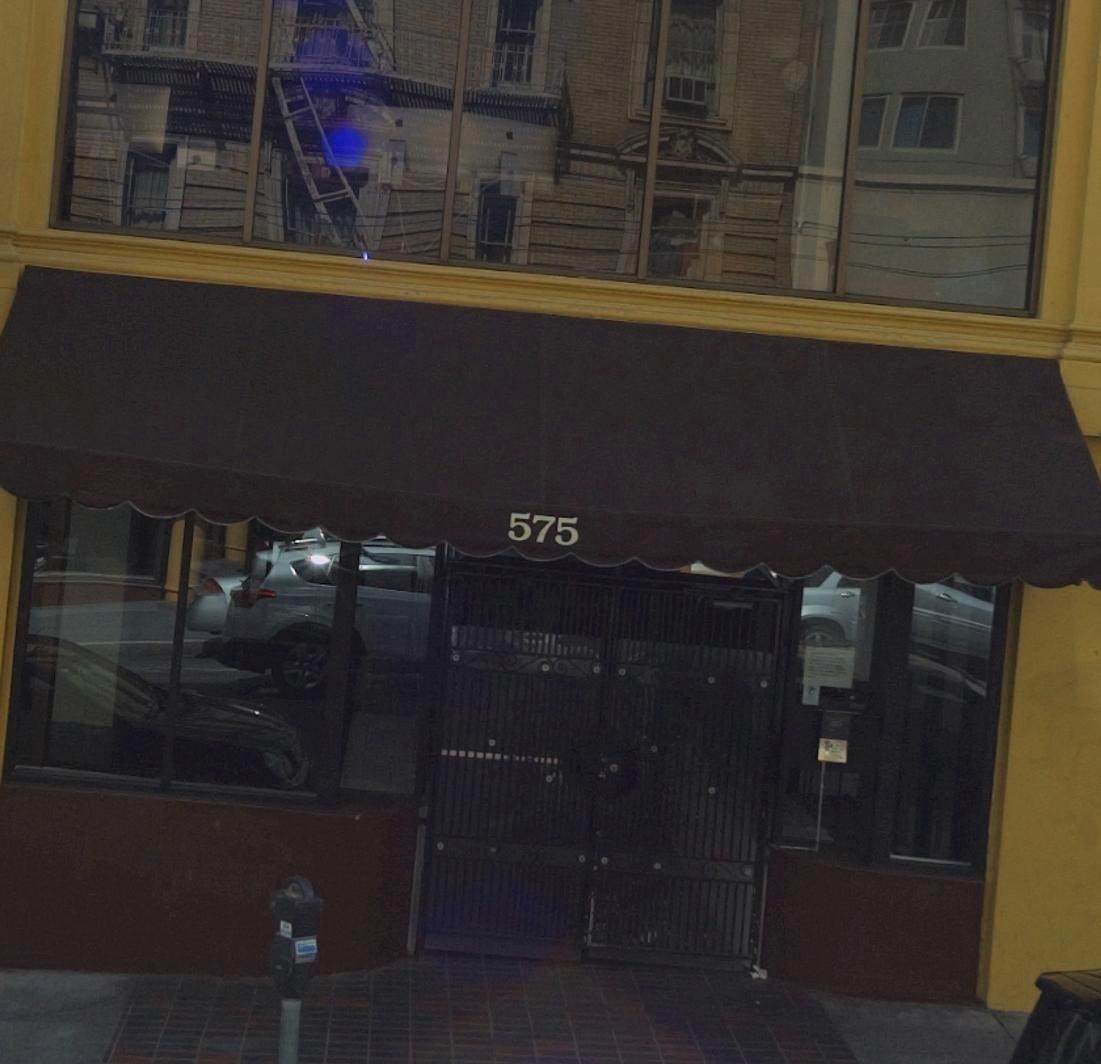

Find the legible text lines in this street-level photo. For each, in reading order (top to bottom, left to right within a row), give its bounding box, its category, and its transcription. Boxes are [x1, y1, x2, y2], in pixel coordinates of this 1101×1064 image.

[504, 505, 585, 553] StreetNumber: 575